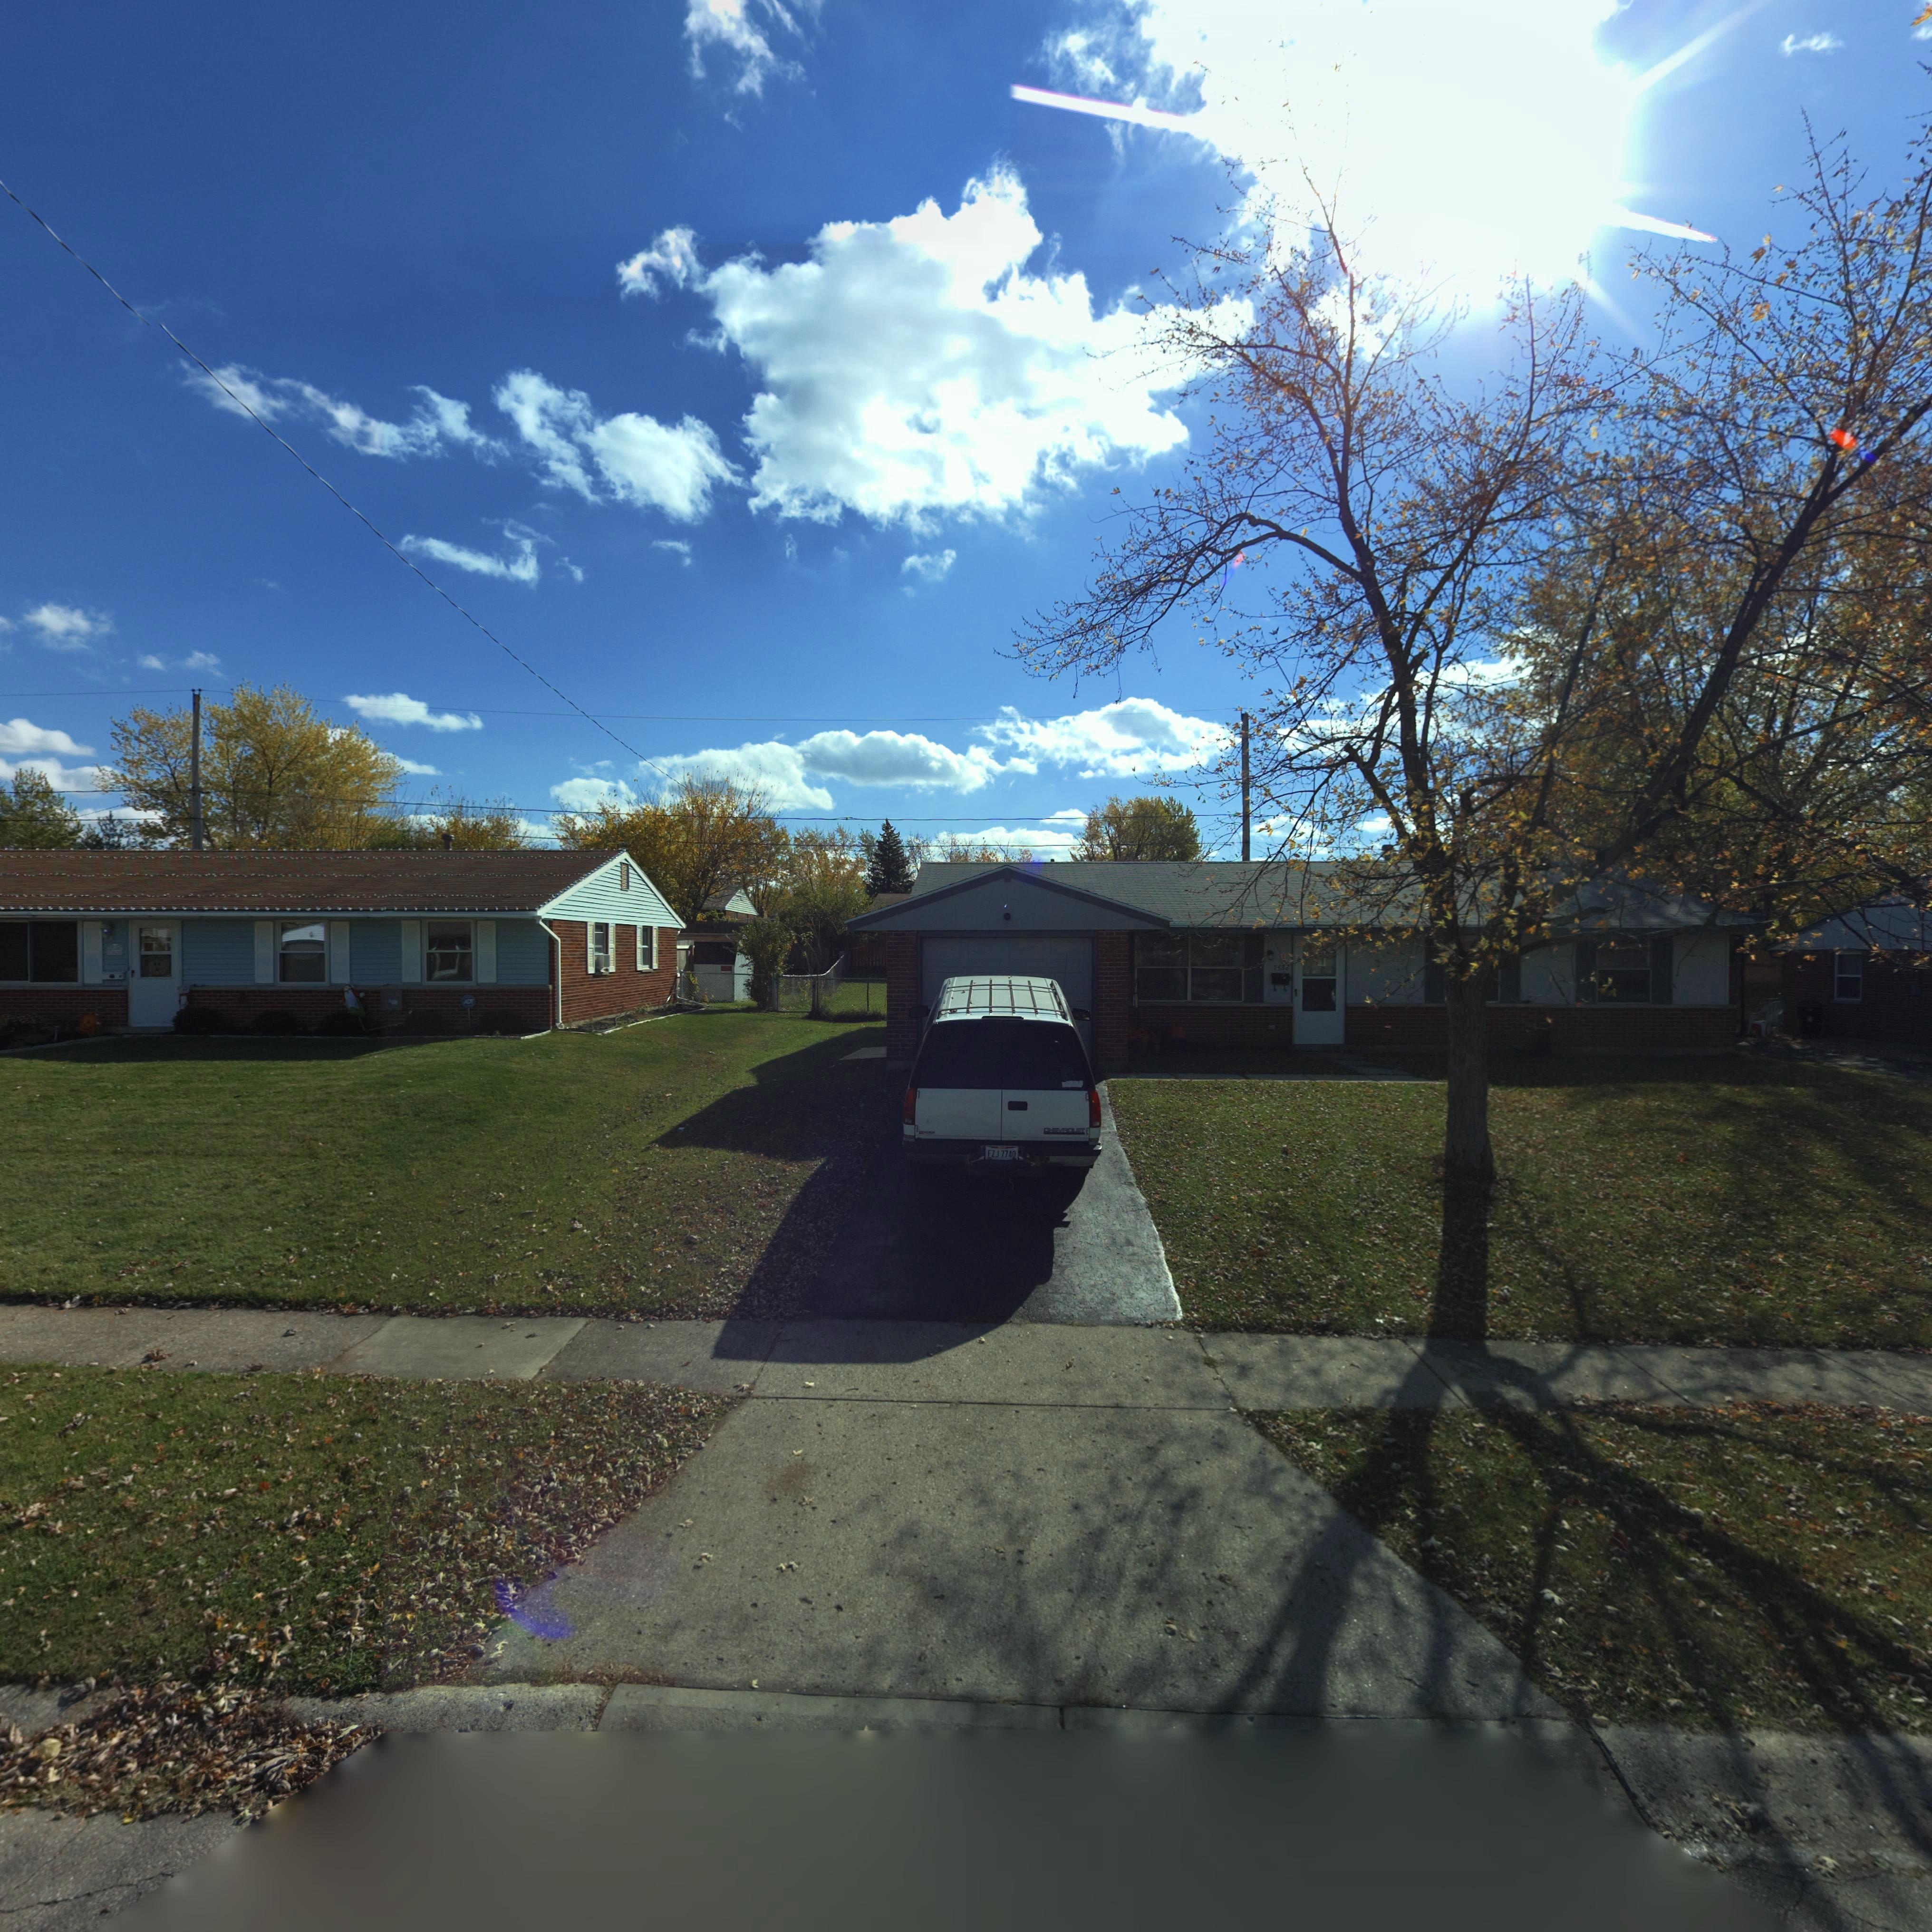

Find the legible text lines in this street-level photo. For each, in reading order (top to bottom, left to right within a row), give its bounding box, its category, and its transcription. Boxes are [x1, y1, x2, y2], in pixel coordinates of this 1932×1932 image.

[1273, 964, 1290, 971] StreetNumber: 76**